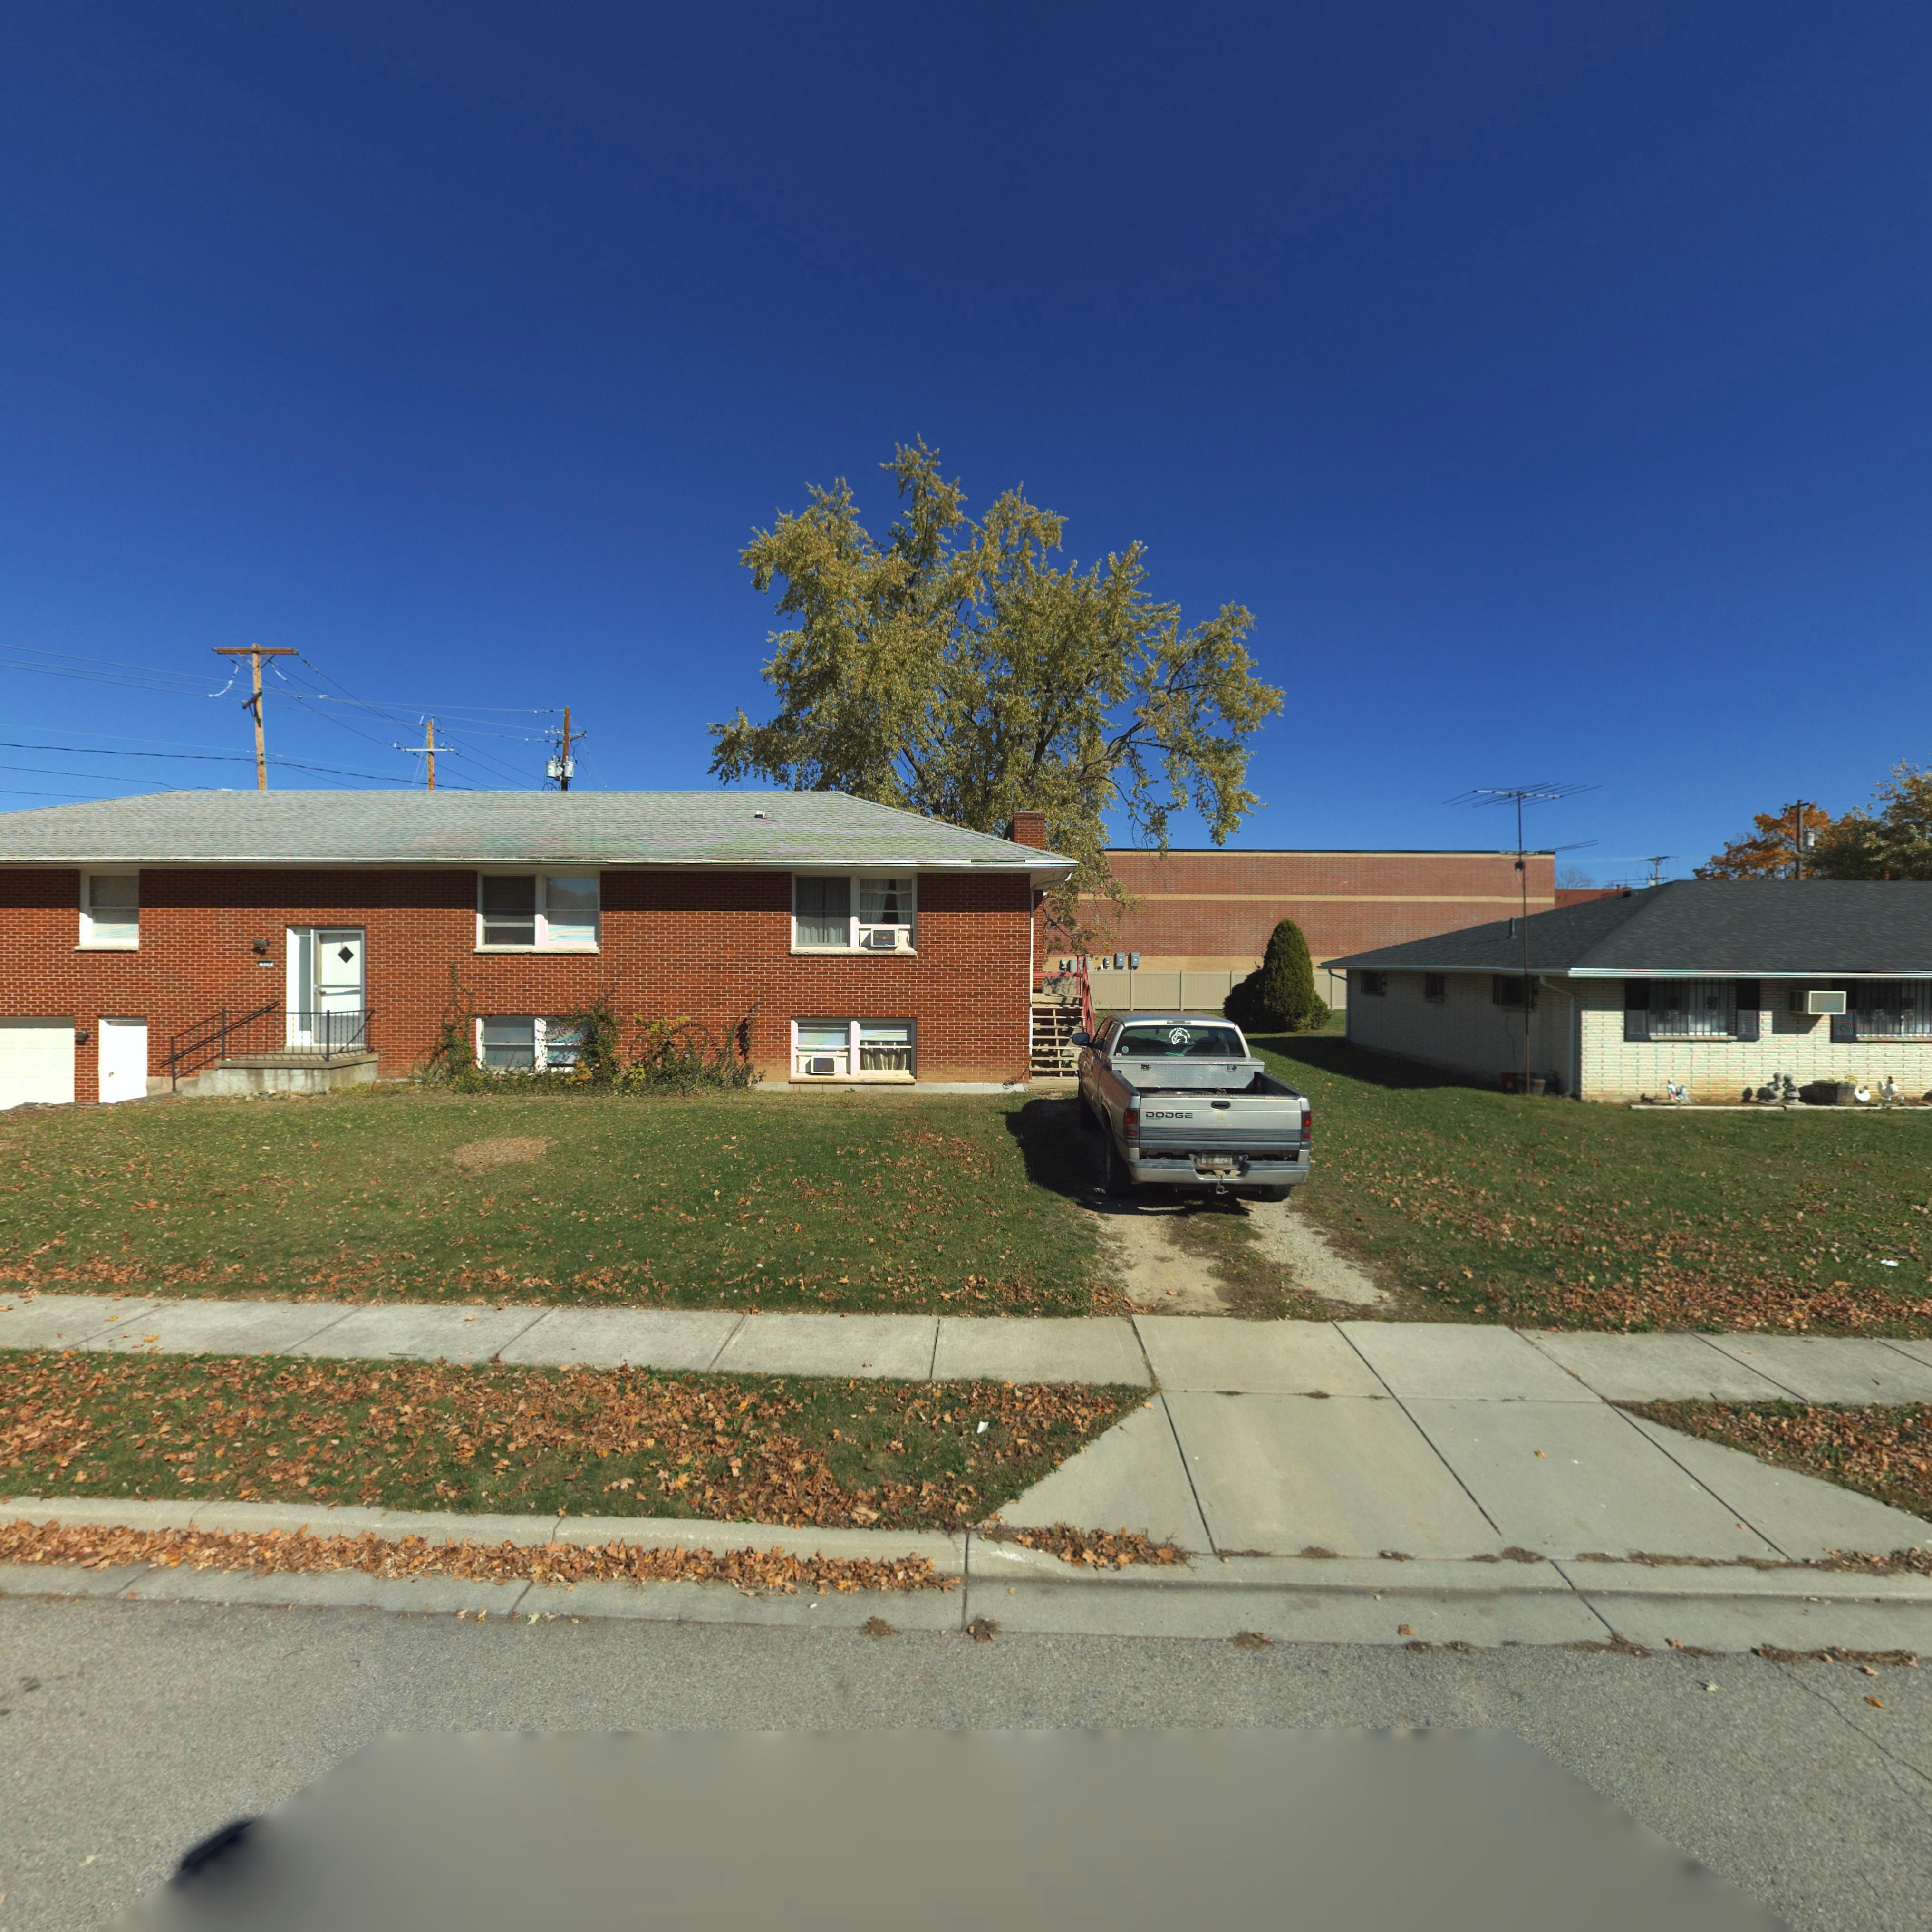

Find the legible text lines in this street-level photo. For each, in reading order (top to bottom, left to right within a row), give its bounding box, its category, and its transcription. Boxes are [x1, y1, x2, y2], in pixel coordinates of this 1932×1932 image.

[261, 961, 271, 966] StreetNumber: *20